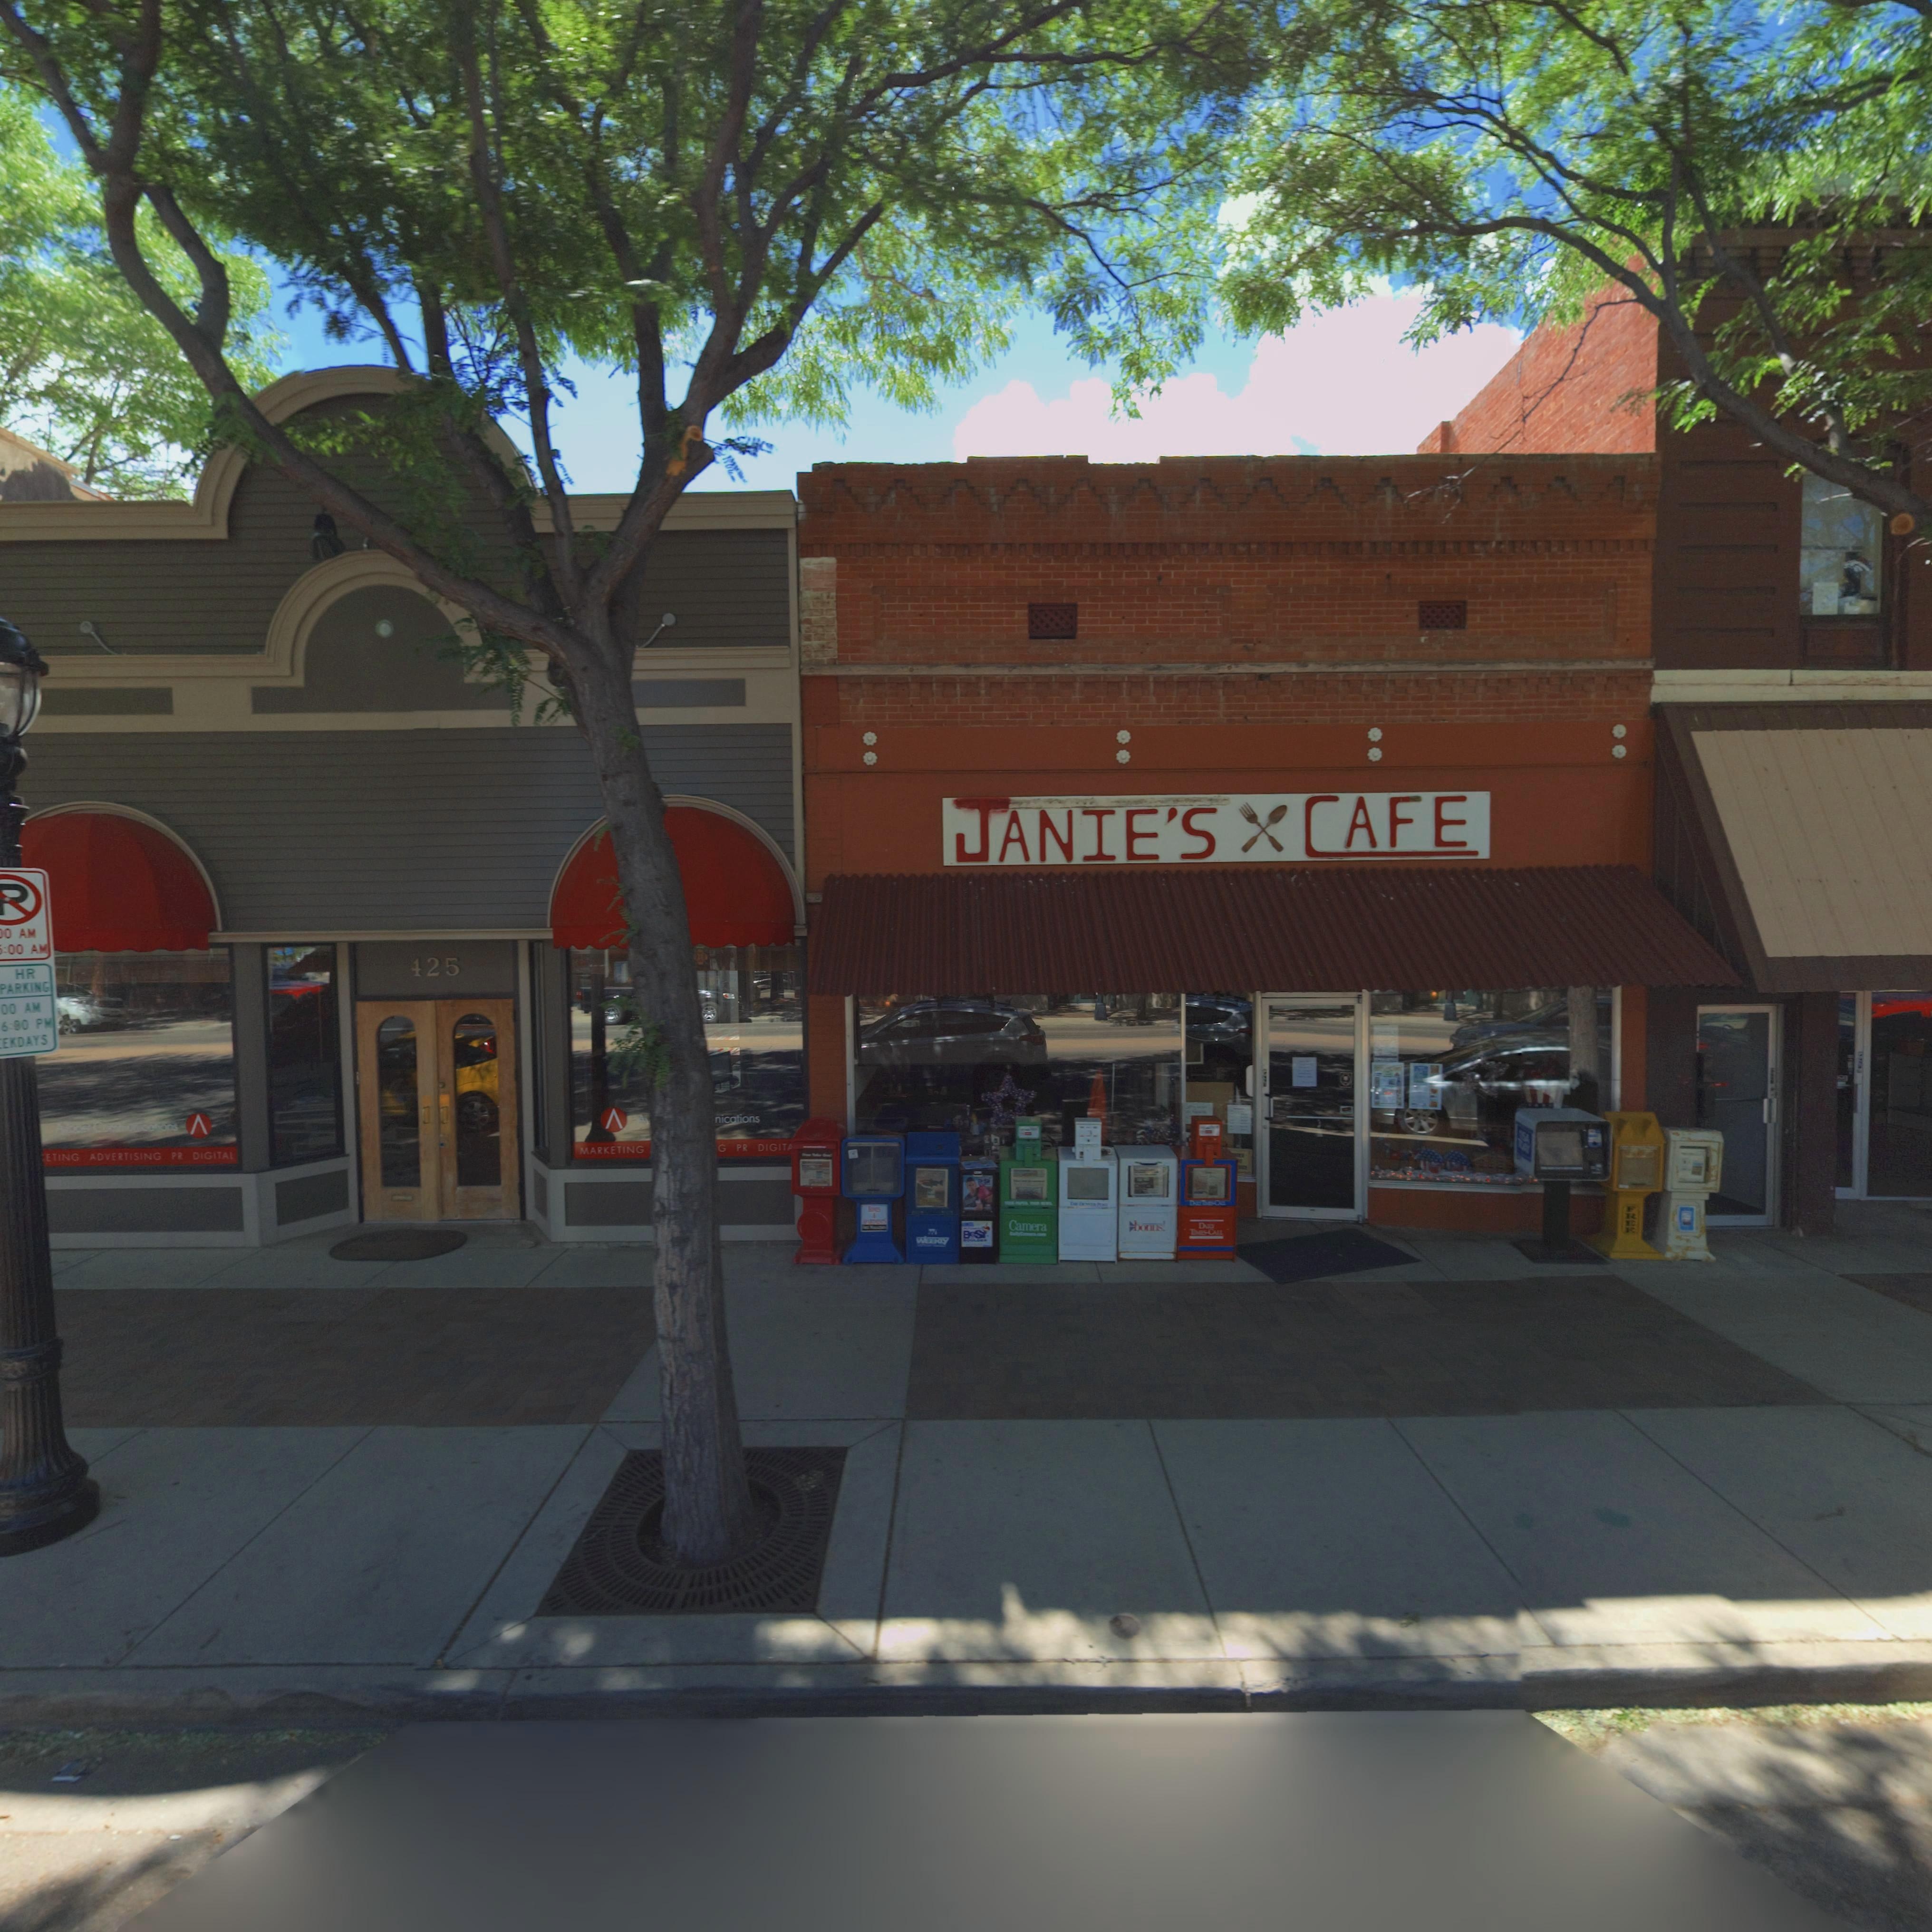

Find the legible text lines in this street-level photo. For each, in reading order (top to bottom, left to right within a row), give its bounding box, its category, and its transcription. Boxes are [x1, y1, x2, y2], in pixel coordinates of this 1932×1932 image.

[950, 793, 1480, 864] BusinessName: JANIE'S CAFE
[410, 956, 460, 976] StreetNumber: 425
[637, 1112, 761, 1124] BusinessName: A* nications